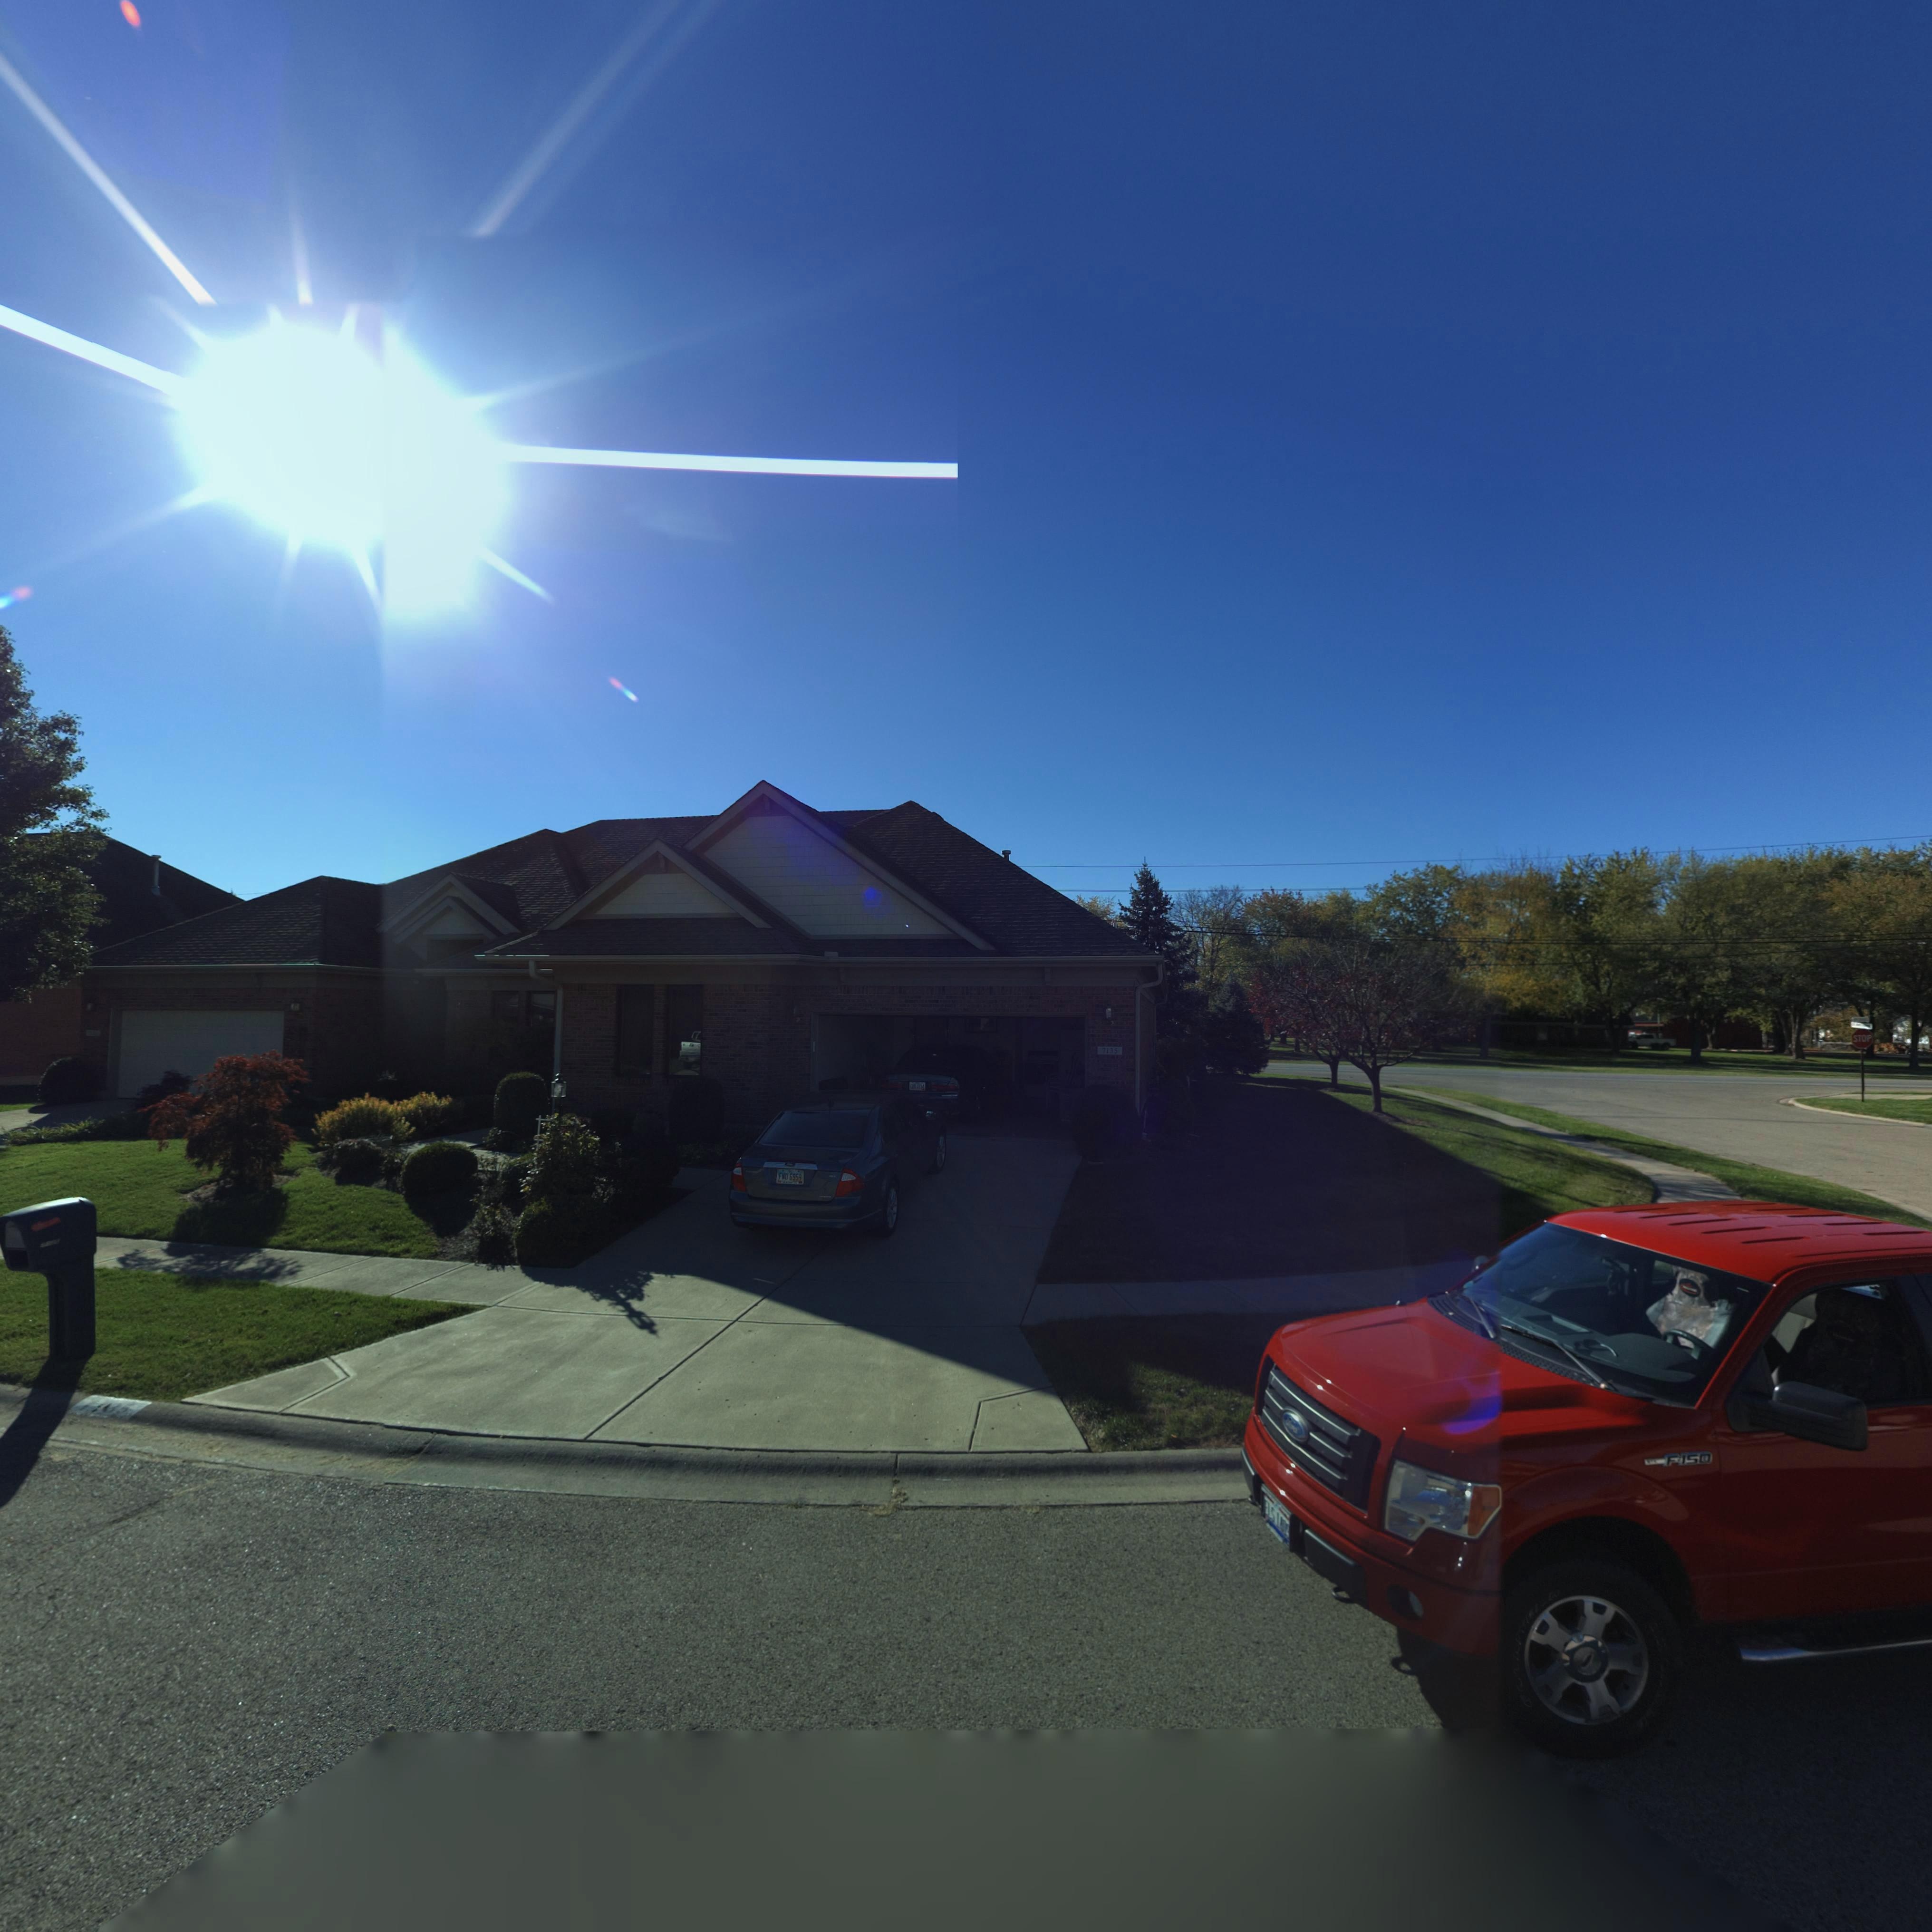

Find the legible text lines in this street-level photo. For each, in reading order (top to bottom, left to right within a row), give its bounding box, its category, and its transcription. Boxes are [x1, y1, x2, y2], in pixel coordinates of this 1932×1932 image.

[1101, 1047, 1118, 1054] StreetNumber: 7135
[76, 1396, 140, 1415] StreetNumber: 7135